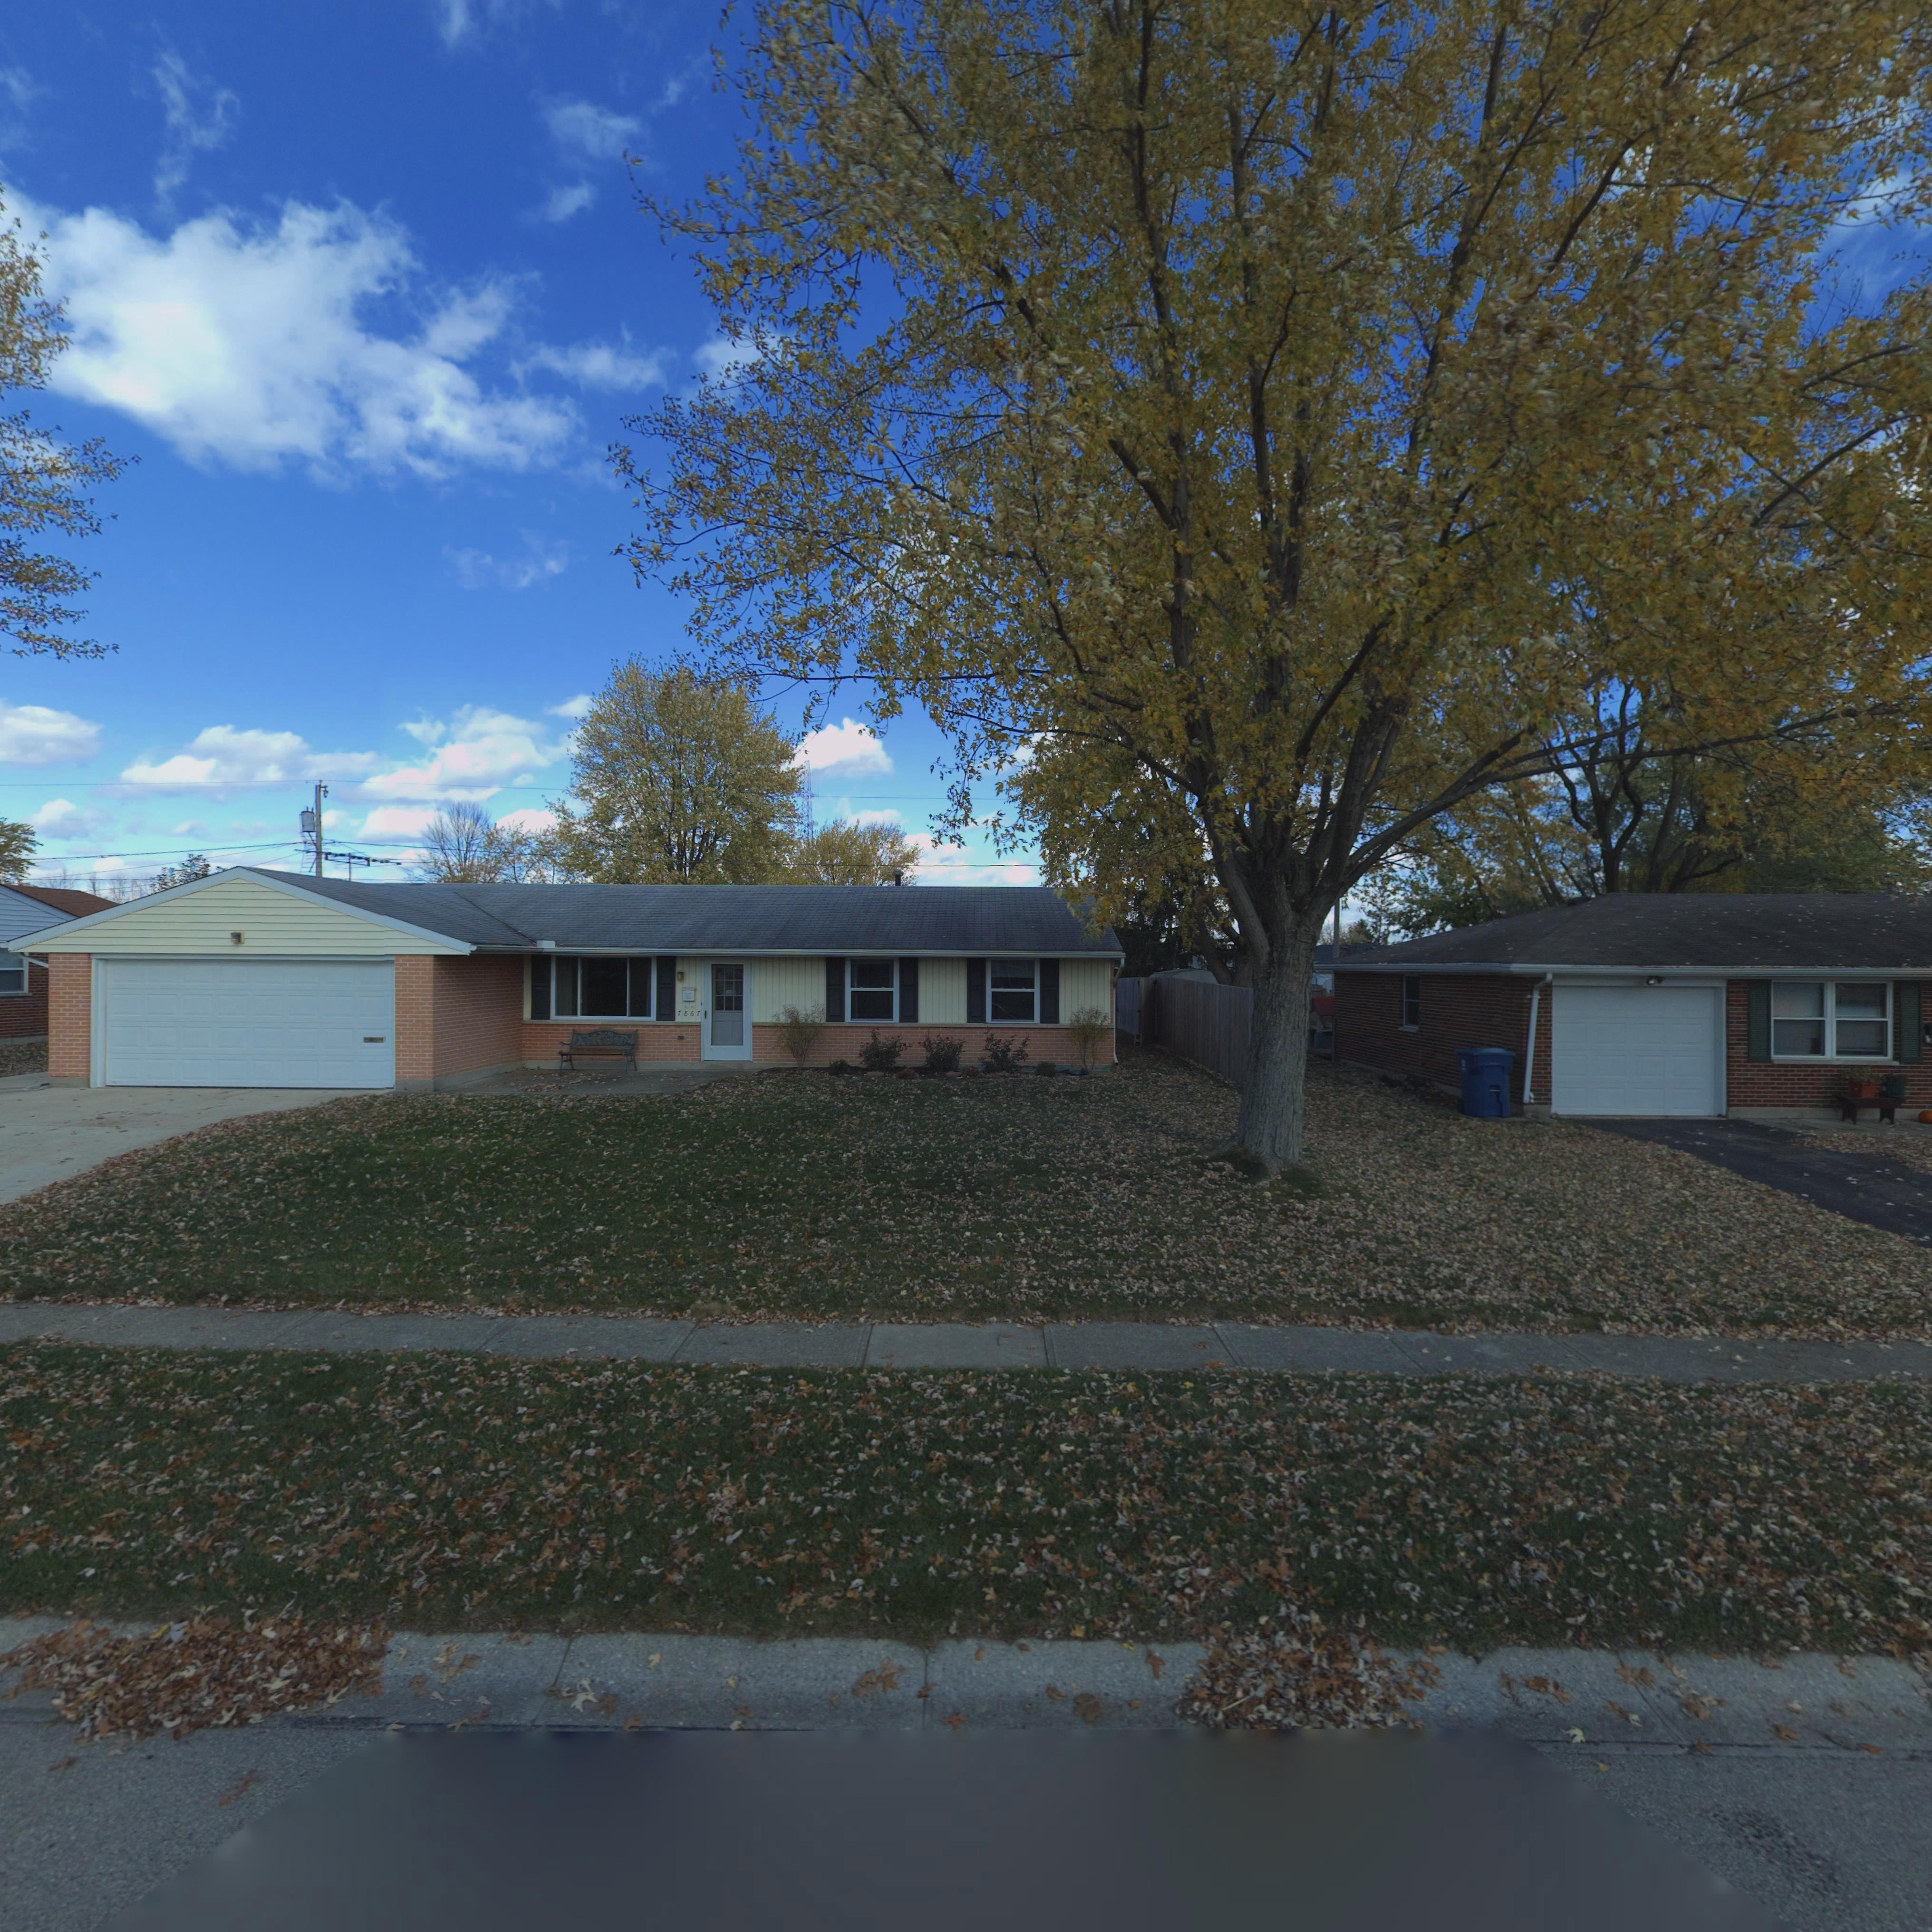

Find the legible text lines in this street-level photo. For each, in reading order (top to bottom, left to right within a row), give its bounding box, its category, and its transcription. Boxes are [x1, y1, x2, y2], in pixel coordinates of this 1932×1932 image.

[677, 1010, 701, 1017] StreetNumber: 7867